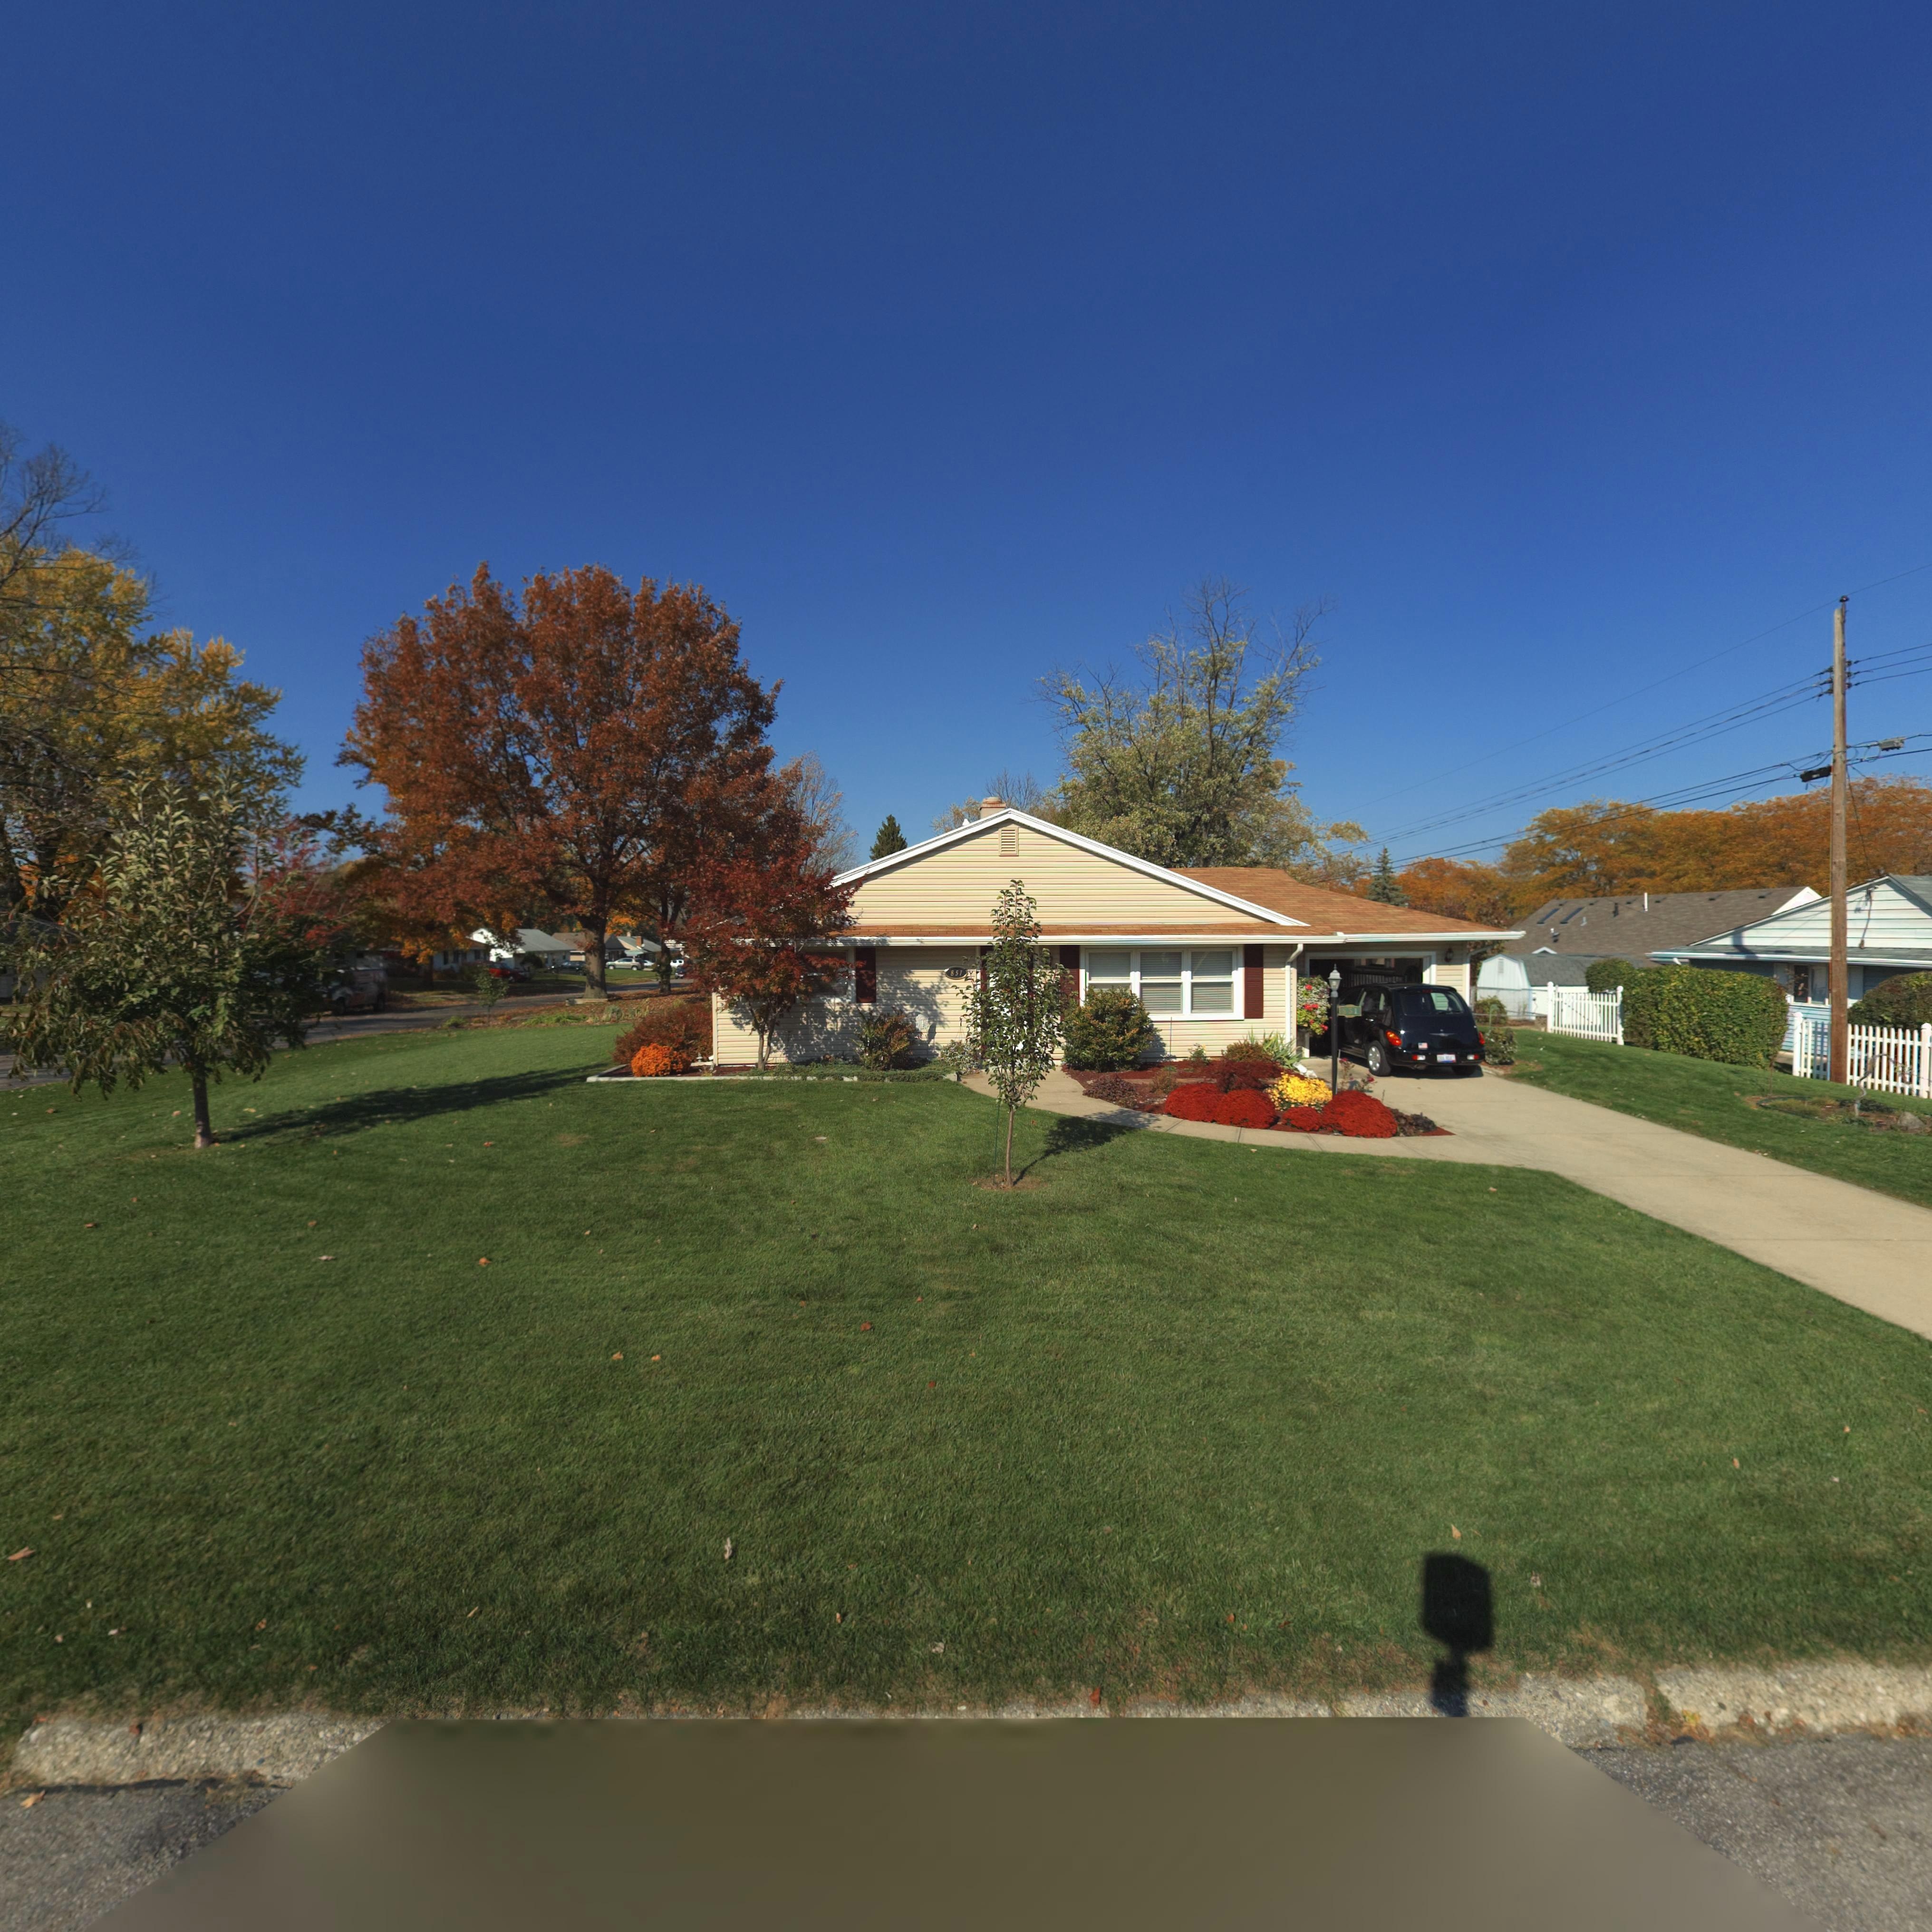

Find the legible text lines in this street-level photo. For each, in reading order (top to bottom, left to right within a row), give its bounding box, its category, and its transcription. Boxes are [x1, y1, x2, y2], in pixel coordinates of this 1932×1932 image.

[950, 970, 963, 976] StreetNumber: 851
[1341, 1007, 1357, 1014] StreetNumber: 85*